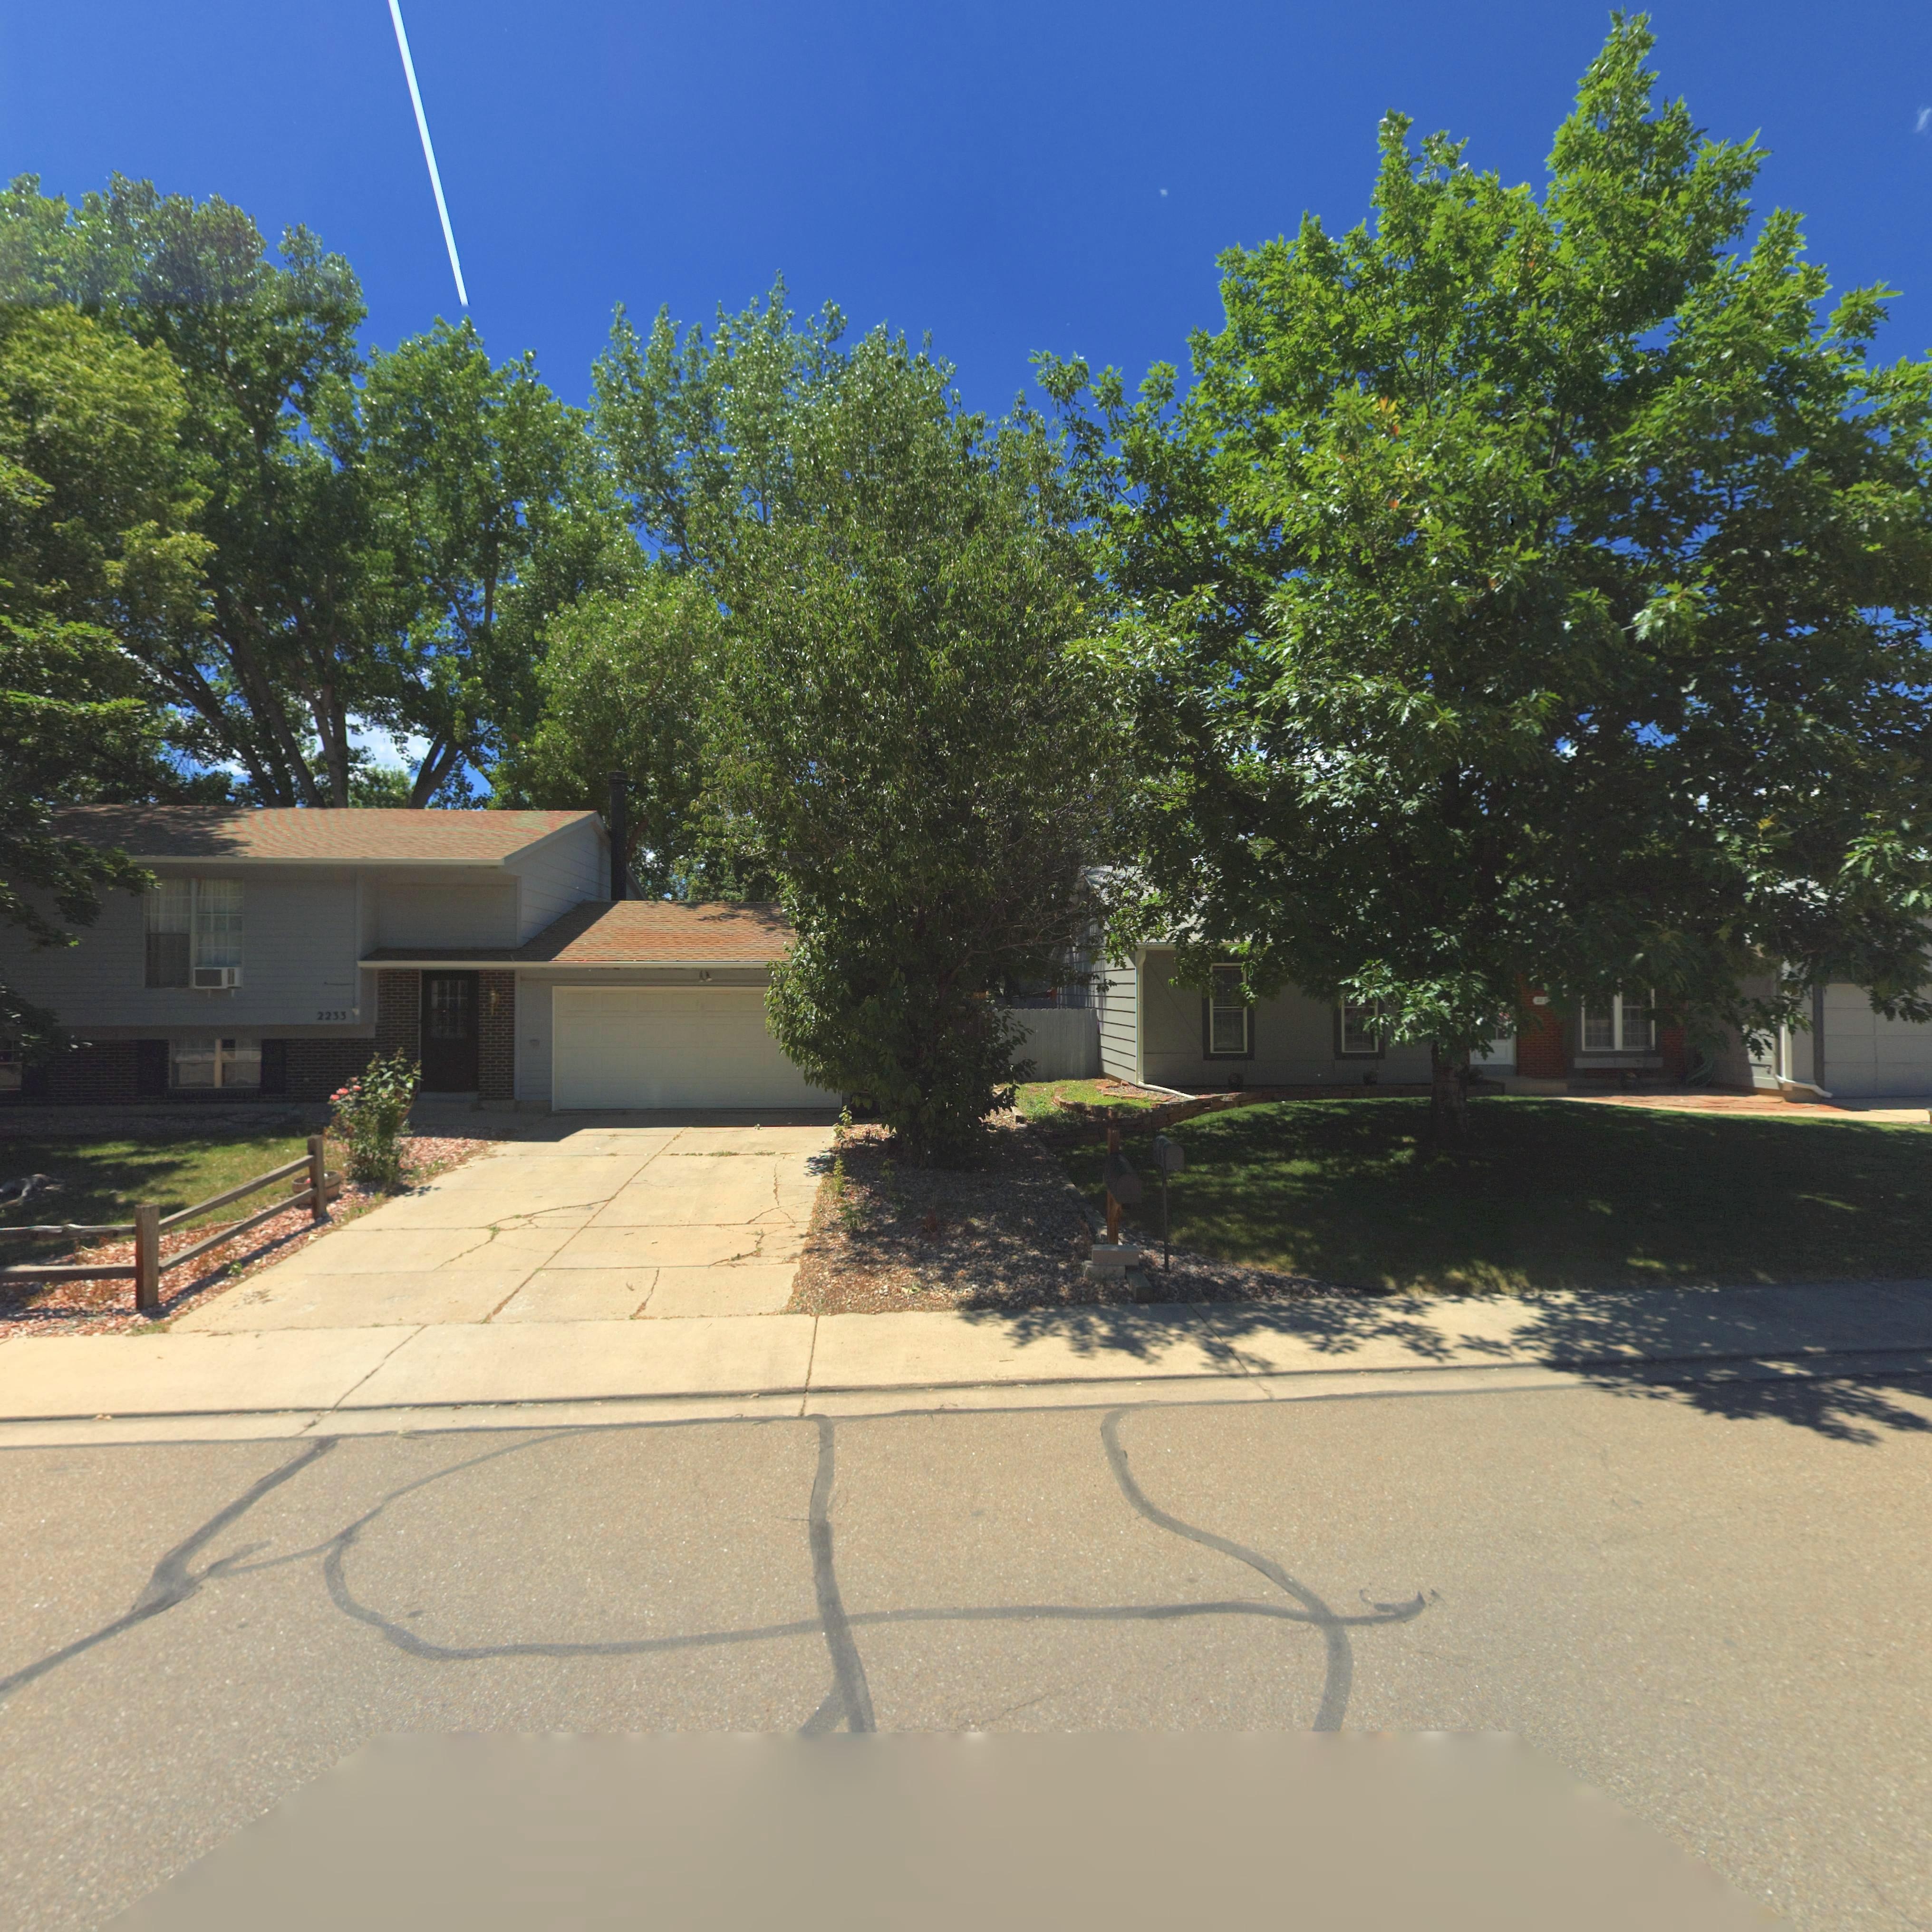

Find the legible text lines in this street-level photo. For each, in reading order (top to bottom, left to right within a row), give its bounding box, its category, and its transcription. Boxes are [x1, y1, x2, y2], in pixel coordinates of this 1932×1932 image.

[1535, 997, 1543, 1003] StreetNumber: 22
[316, 1010, 347, 1021] StreetNumber: 2233